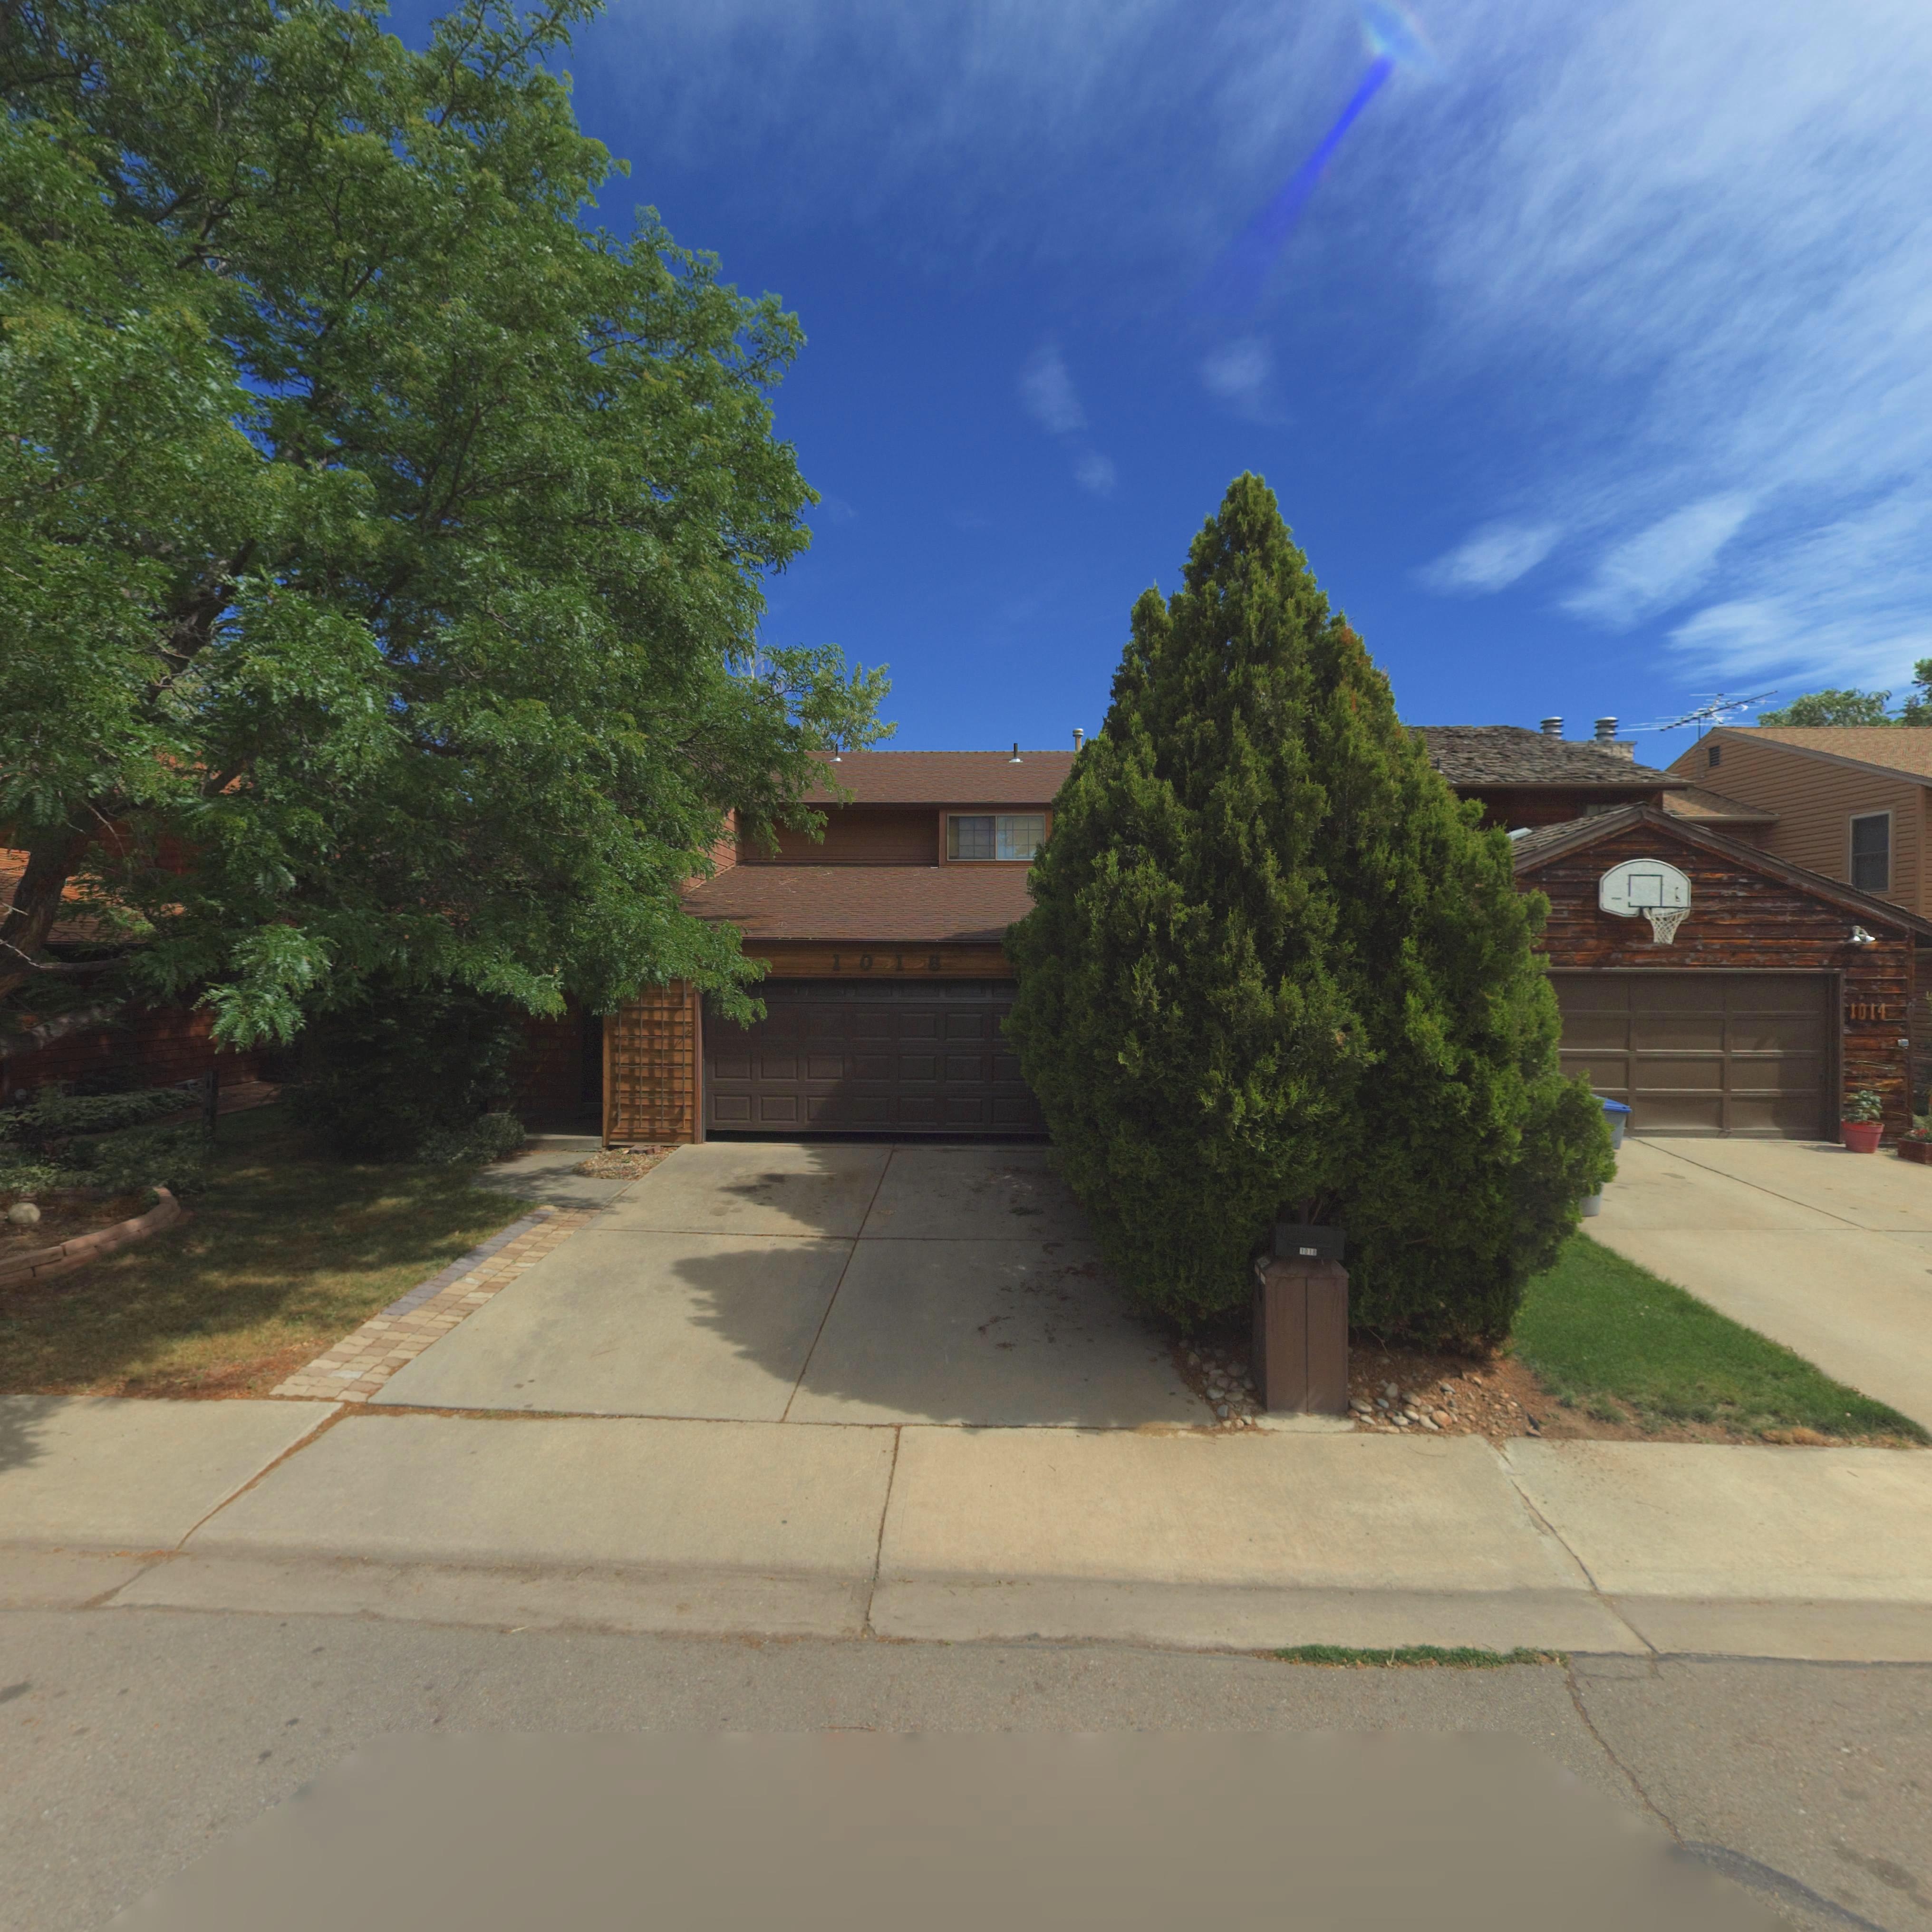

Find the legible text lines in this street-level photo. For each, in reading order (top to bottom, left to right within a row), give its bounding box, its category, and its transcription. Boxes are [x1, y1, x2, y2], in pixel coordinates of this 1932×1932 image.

[832, 953, 941, 972] StreetNumber: 1018
[1850, 1002, 1886, 1020] StreetNumber: 1014
[1301, 1247, 1315, 1255] StreetNumber: 1018